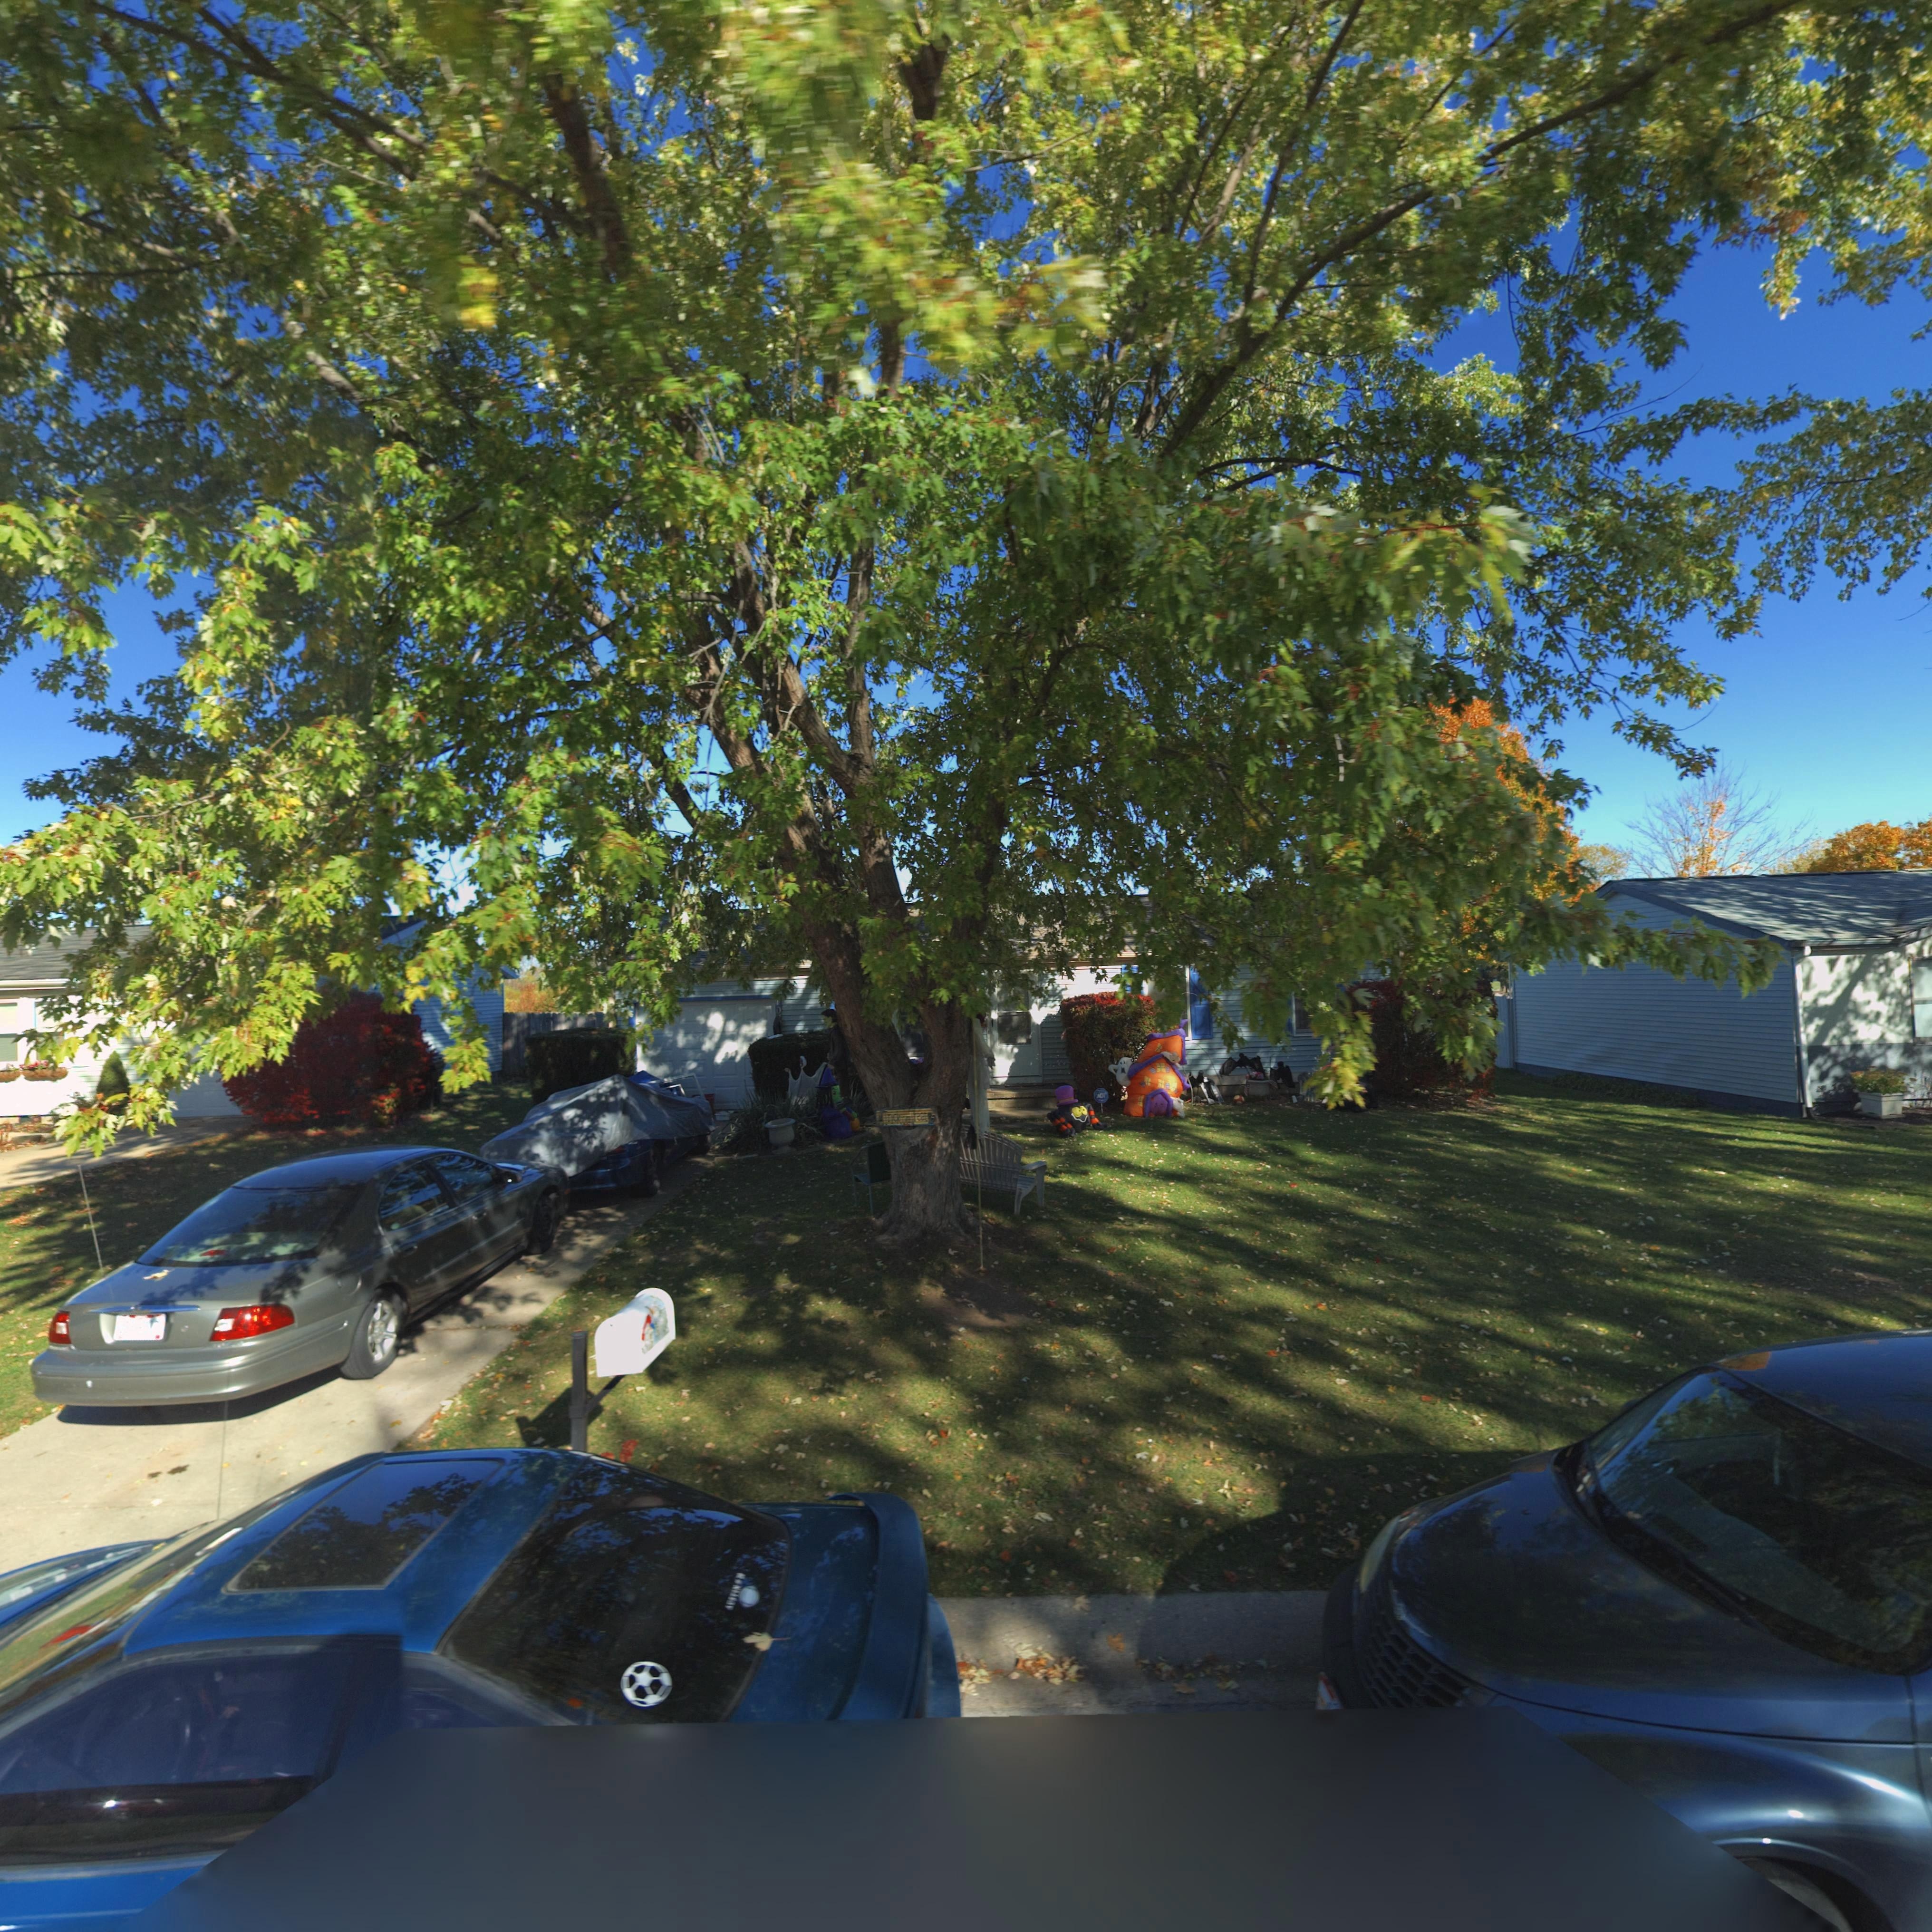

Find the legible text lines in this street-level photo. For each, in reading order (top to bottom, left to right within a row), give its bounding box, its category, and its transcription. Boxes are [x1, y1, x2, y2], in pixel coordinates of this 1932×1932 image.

[775, 1005, 782, 1014] StreetNumber: 0